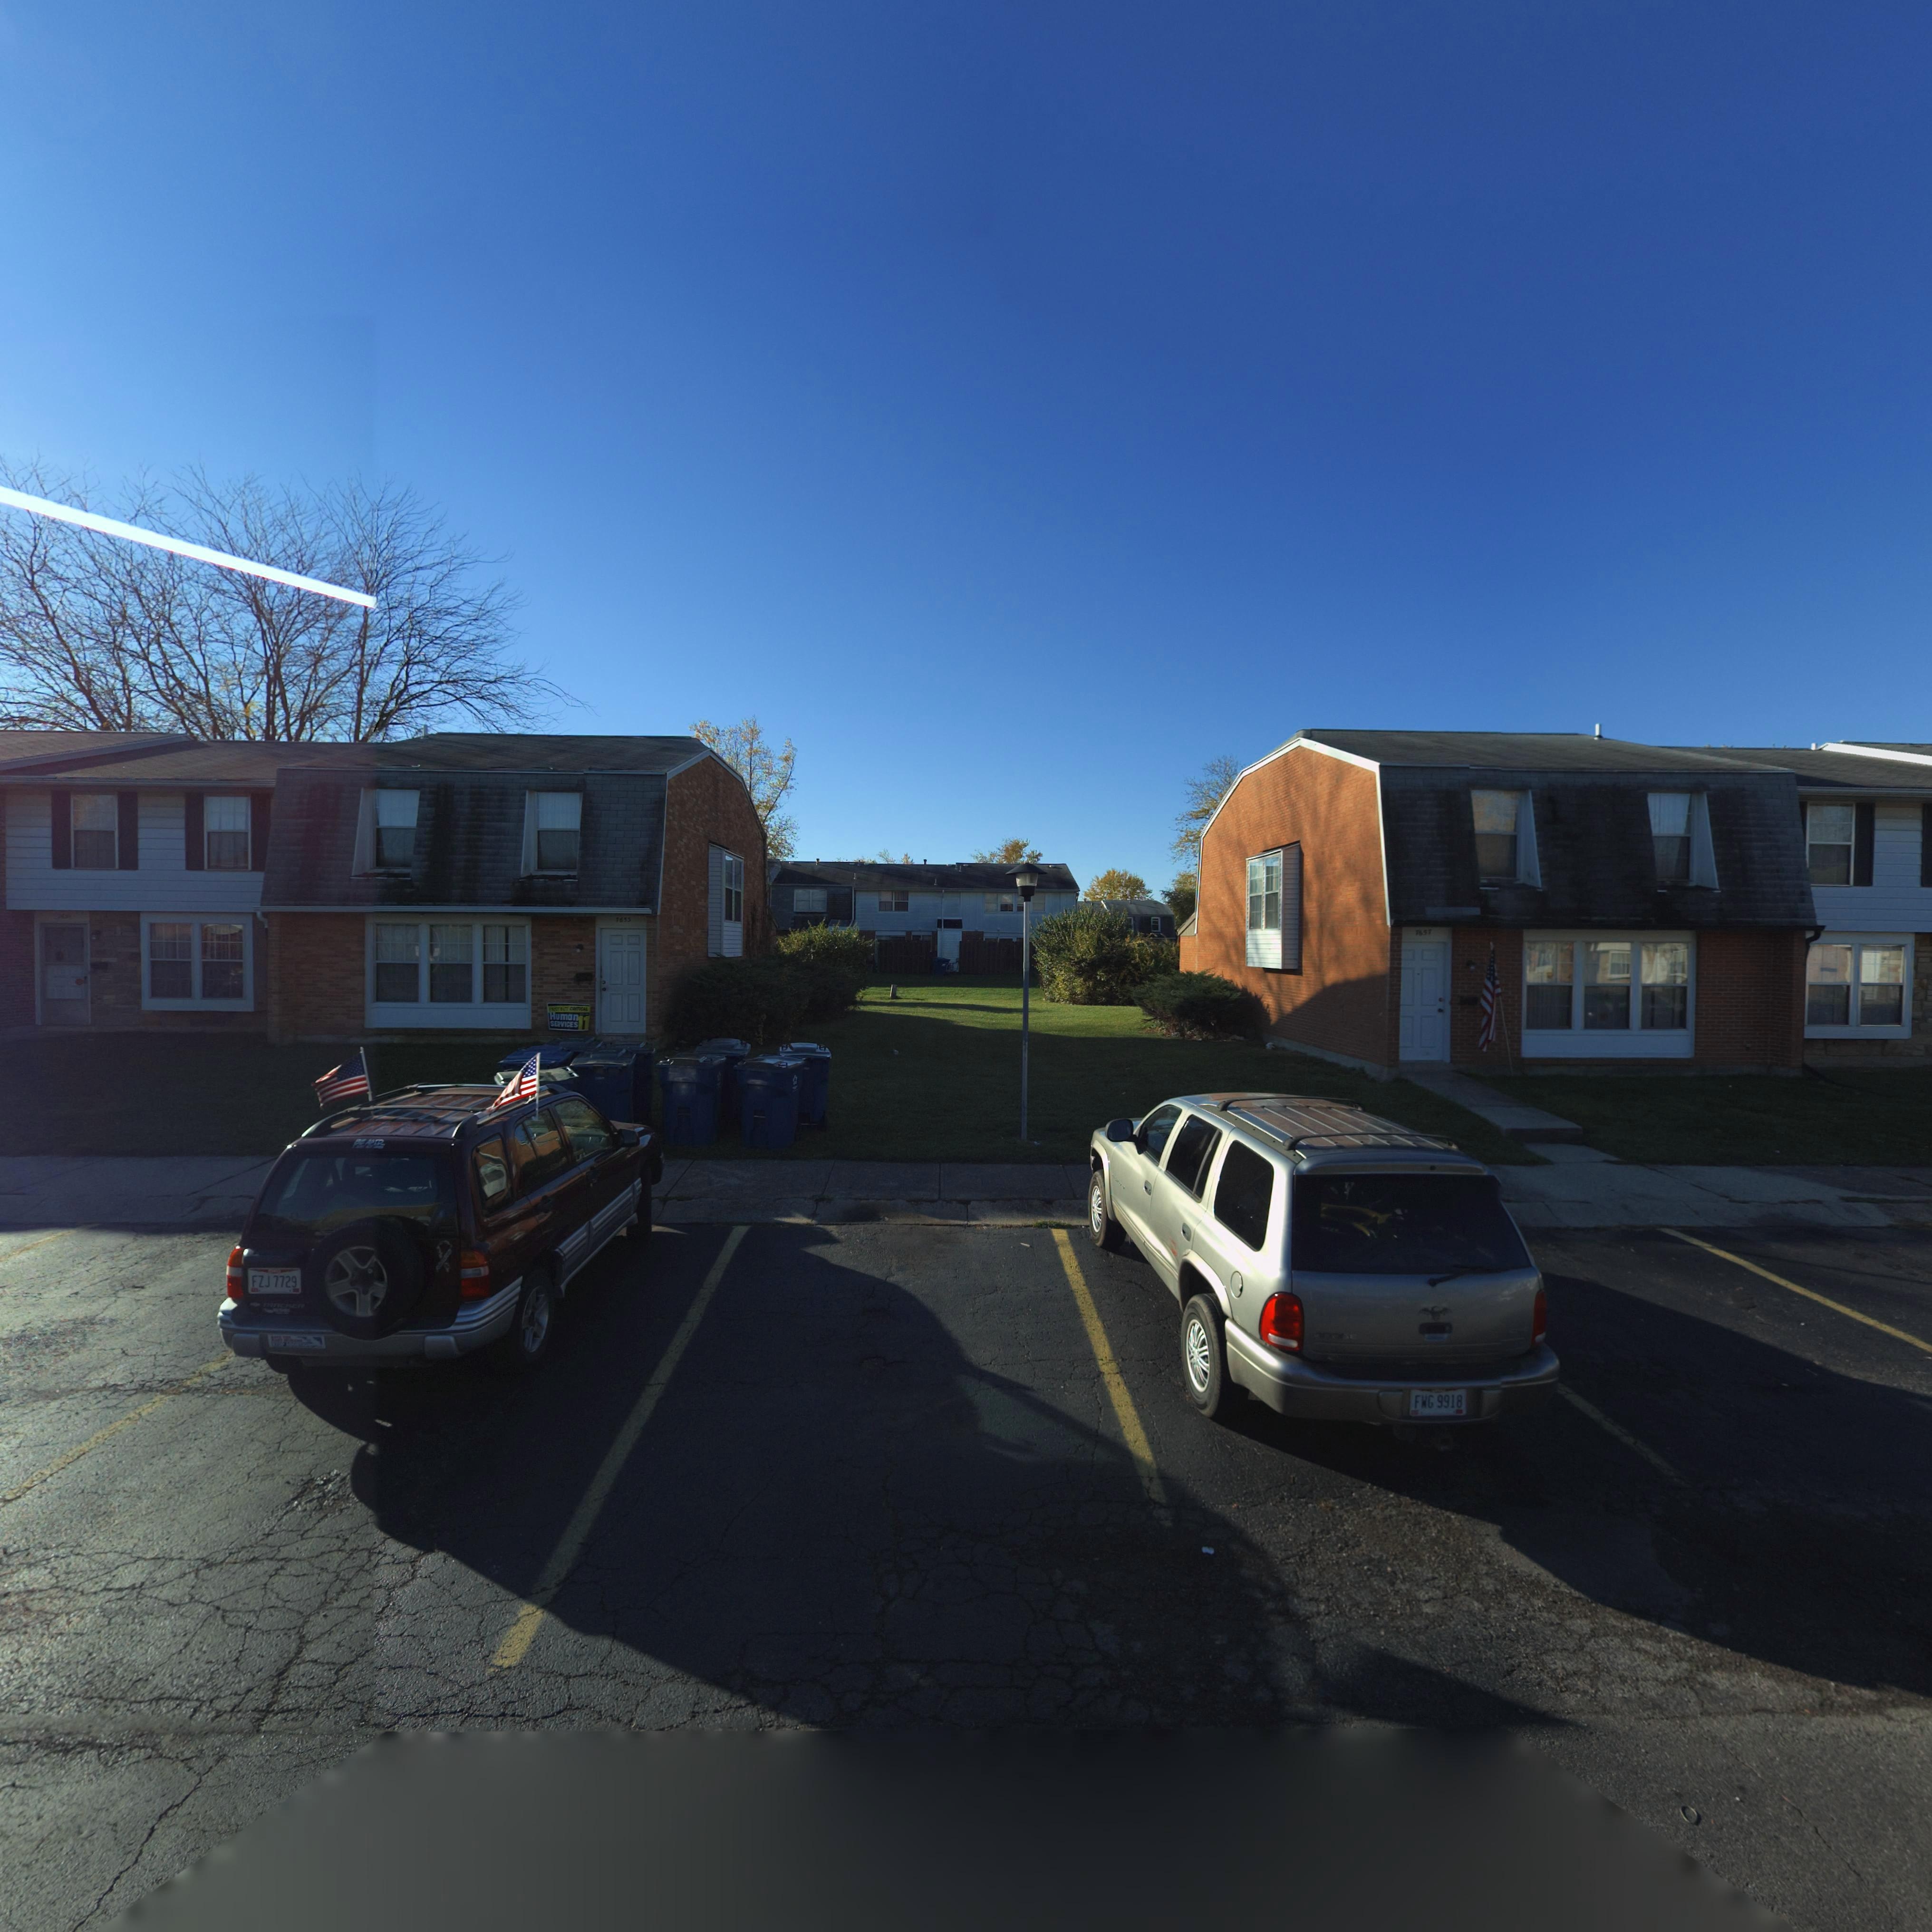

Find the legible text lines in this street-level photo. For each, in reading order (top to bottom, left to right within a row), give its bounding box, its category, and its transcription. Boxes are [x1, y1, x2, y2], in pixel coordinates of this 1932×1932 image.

[56, 913, 73, 919] StreetNumber: 76**
[615, 917, 632, 923] StreetNumber: 7653
[1414, 928, 1433, 937] StreetNumber: 7657